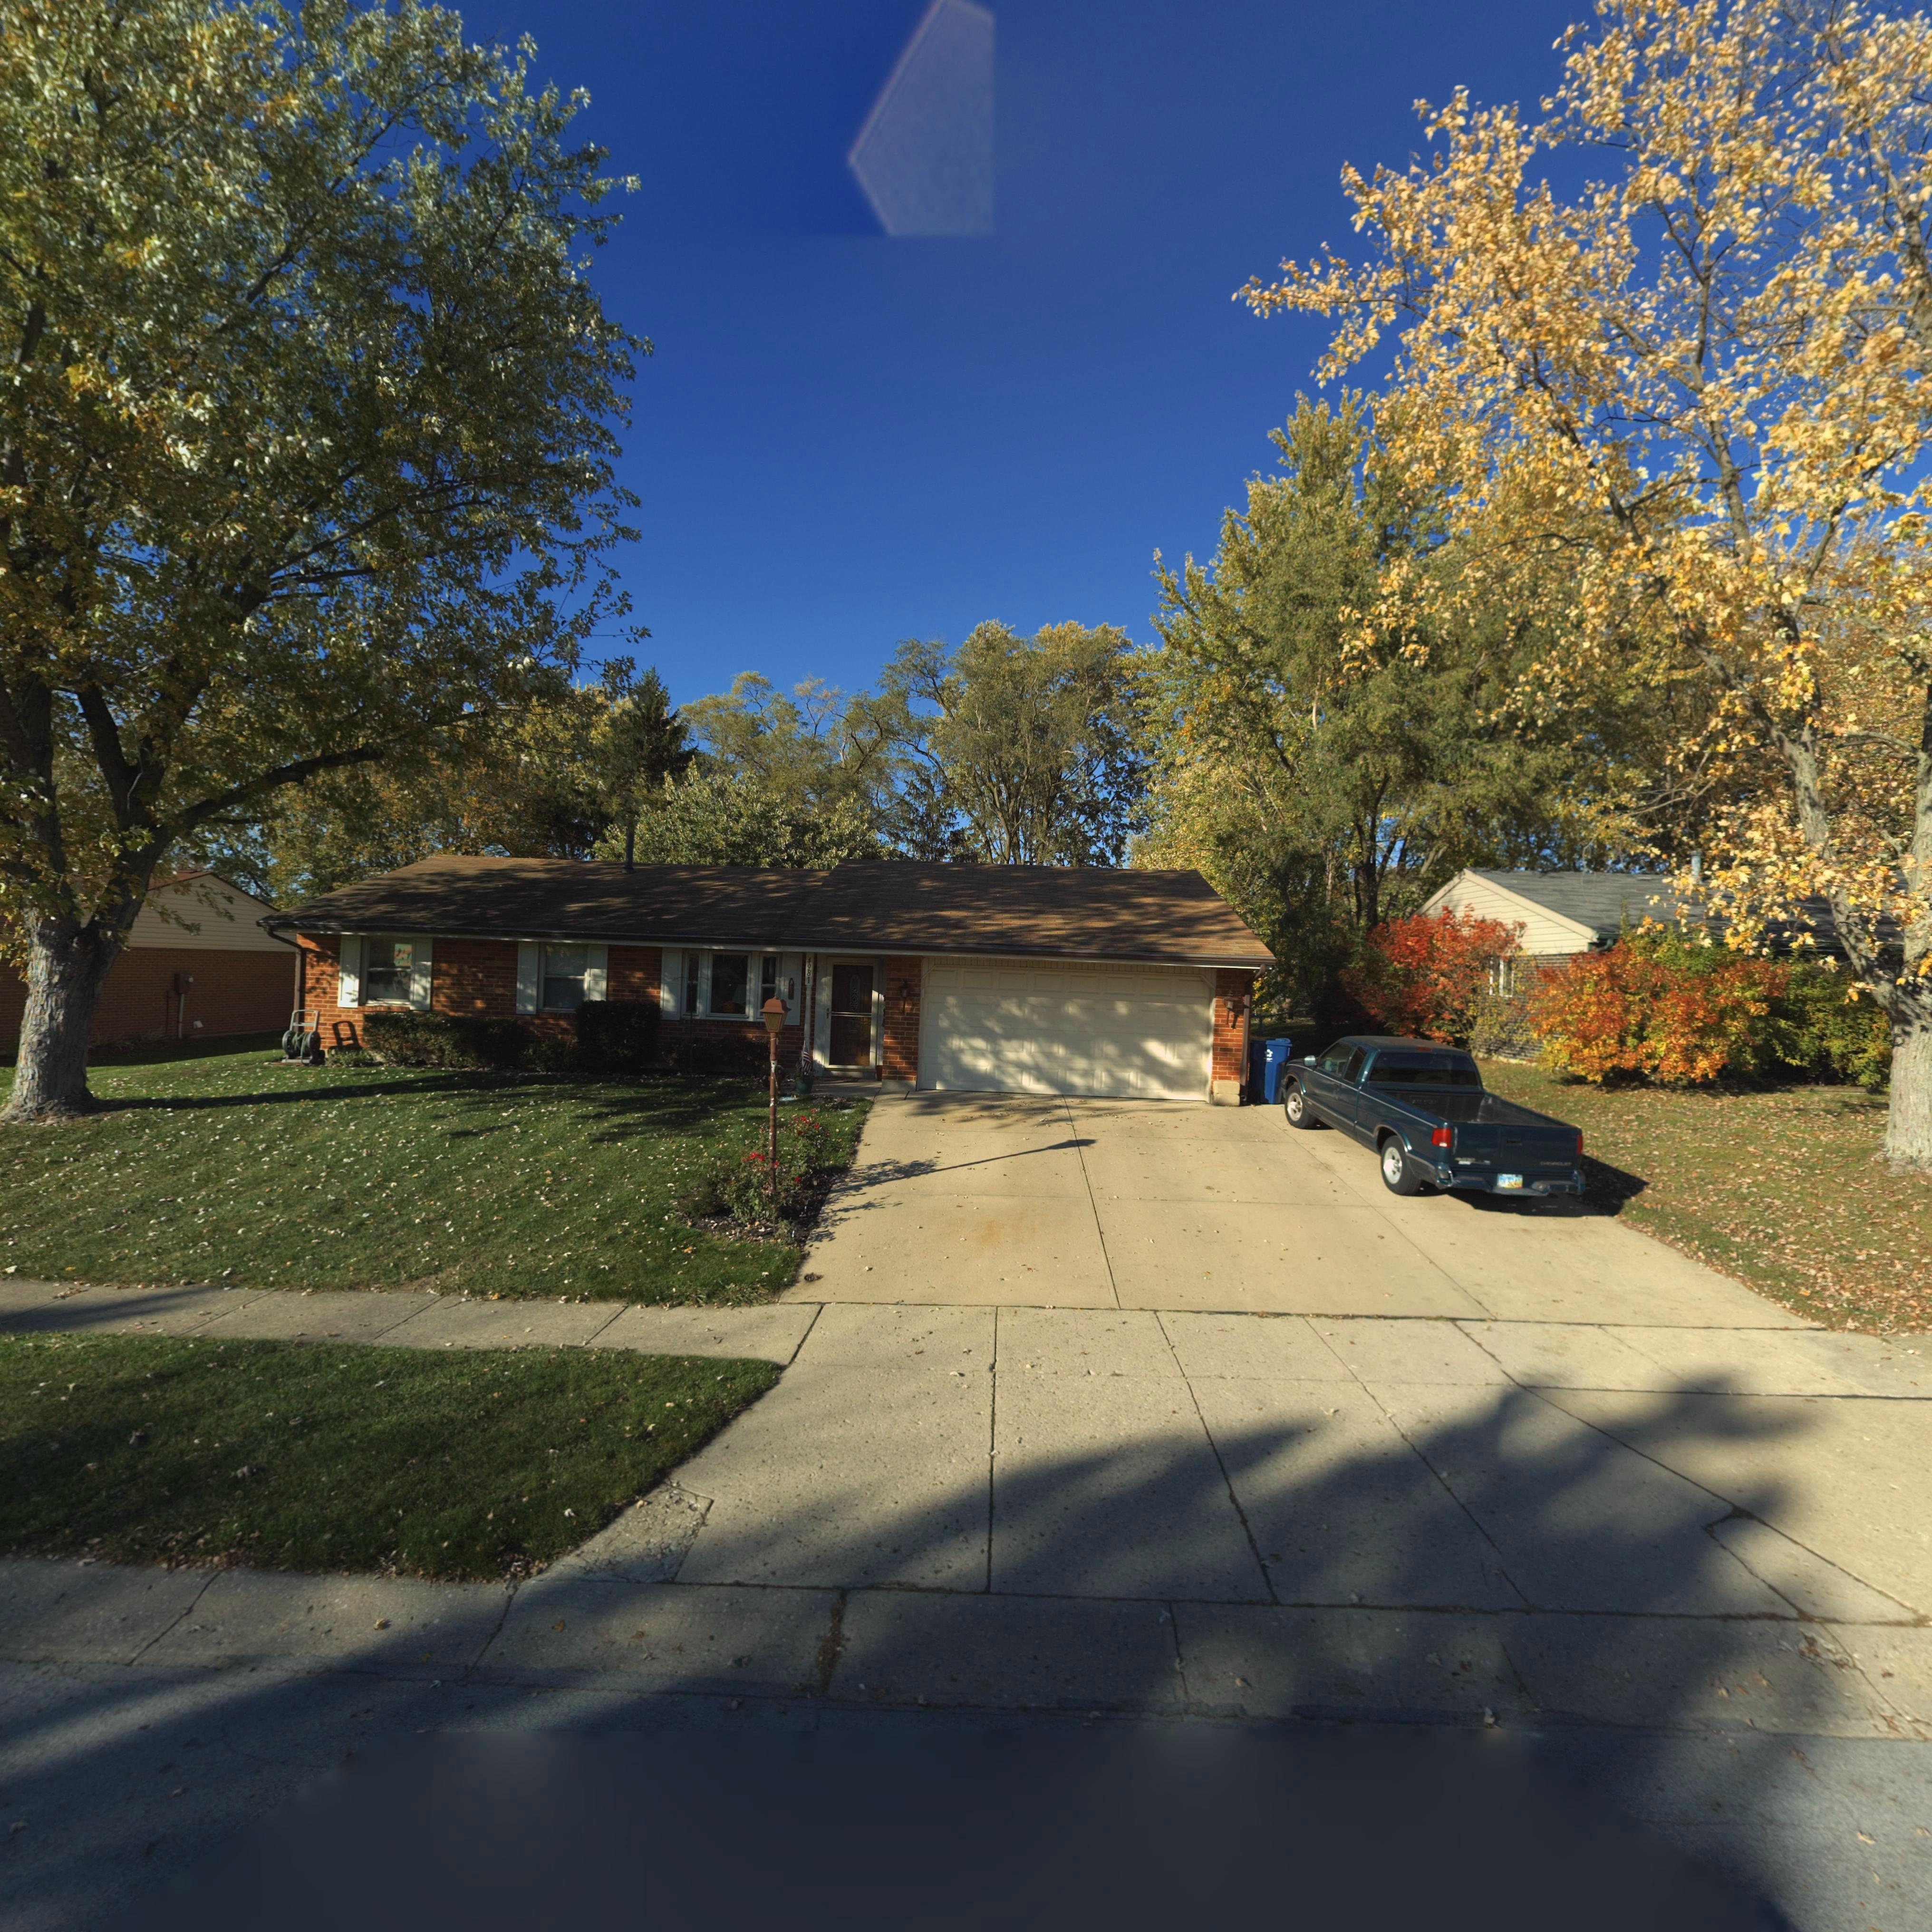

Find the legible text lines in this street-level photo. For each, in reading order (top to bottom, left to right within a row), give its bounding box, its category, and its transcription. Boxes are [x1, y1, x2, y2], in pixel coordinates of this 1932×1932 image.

[806, 956, 812, 984] StreetNumber: 4981